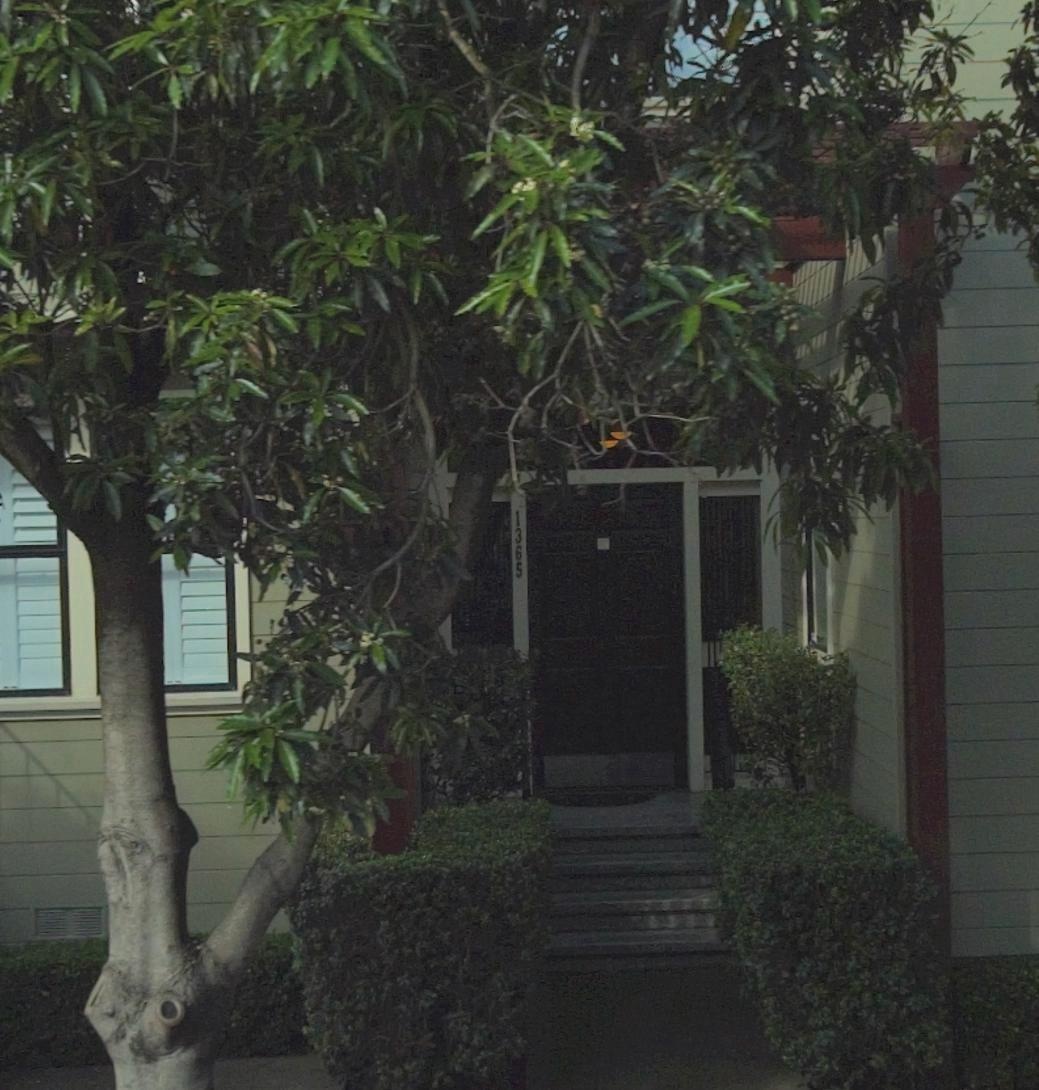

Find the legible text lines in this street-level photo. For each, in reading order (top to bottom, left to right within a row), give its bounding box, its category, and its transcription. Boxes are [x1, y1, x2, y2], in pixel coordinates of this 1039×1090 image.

[512, 508, 525, 581] StreetNumber: 1365